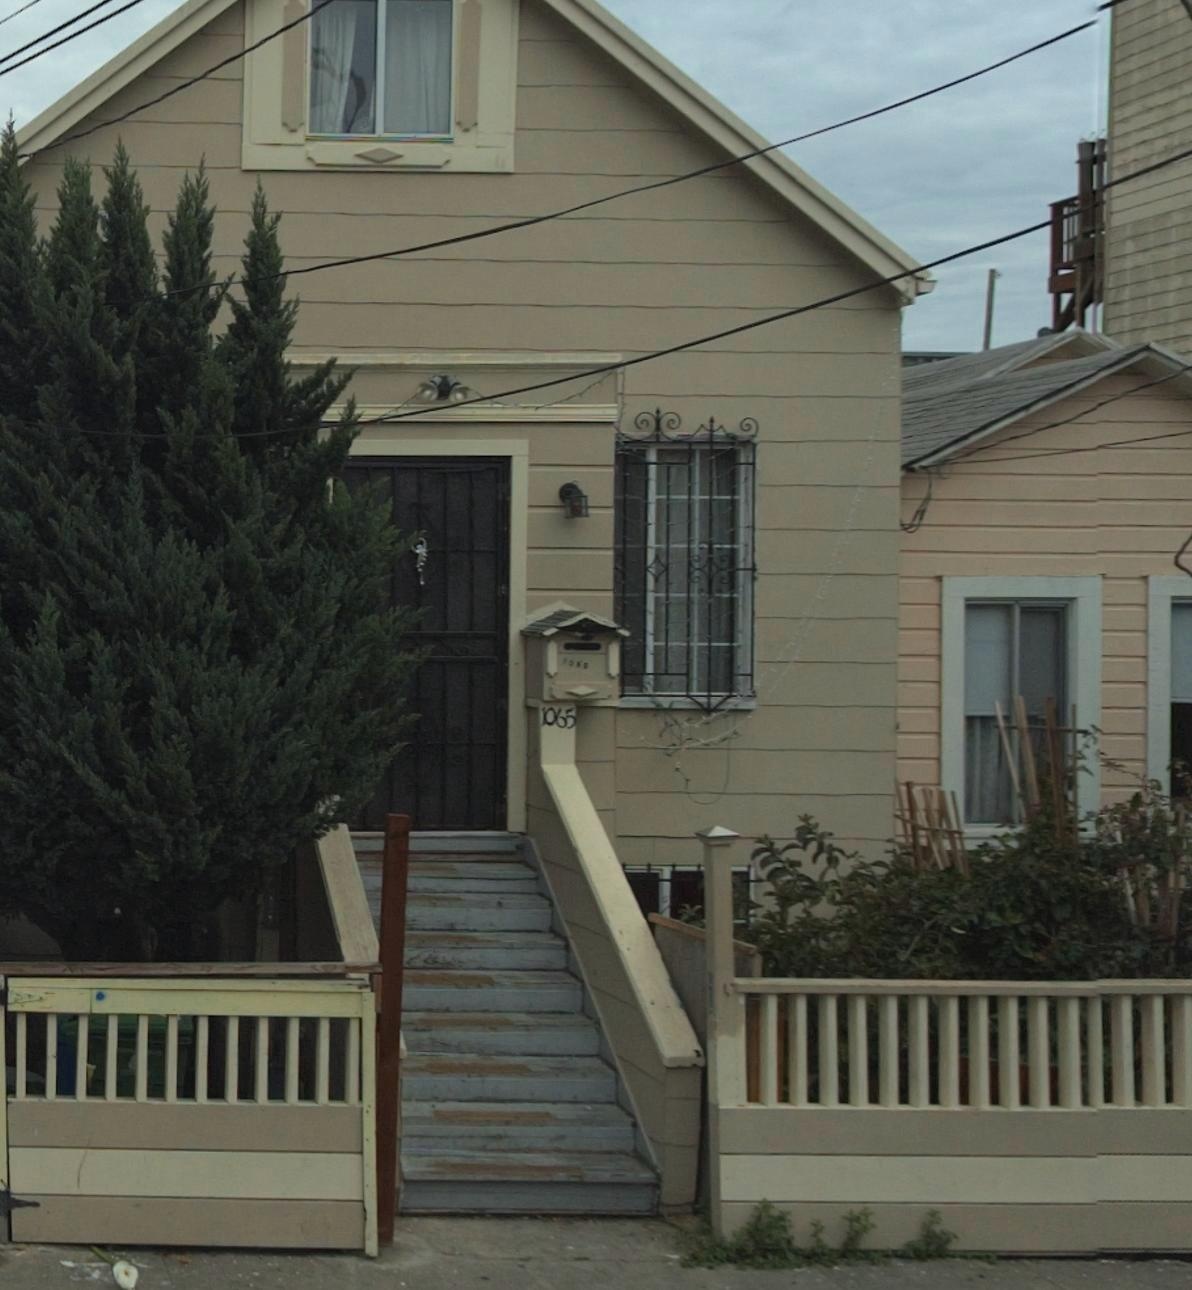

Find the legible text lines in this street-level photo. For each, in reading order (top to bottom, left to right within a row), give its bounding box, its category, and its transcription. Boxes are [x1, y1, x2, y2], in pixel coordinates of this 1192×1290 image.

[540, 705, 577, 730] StreetNumber: 1065